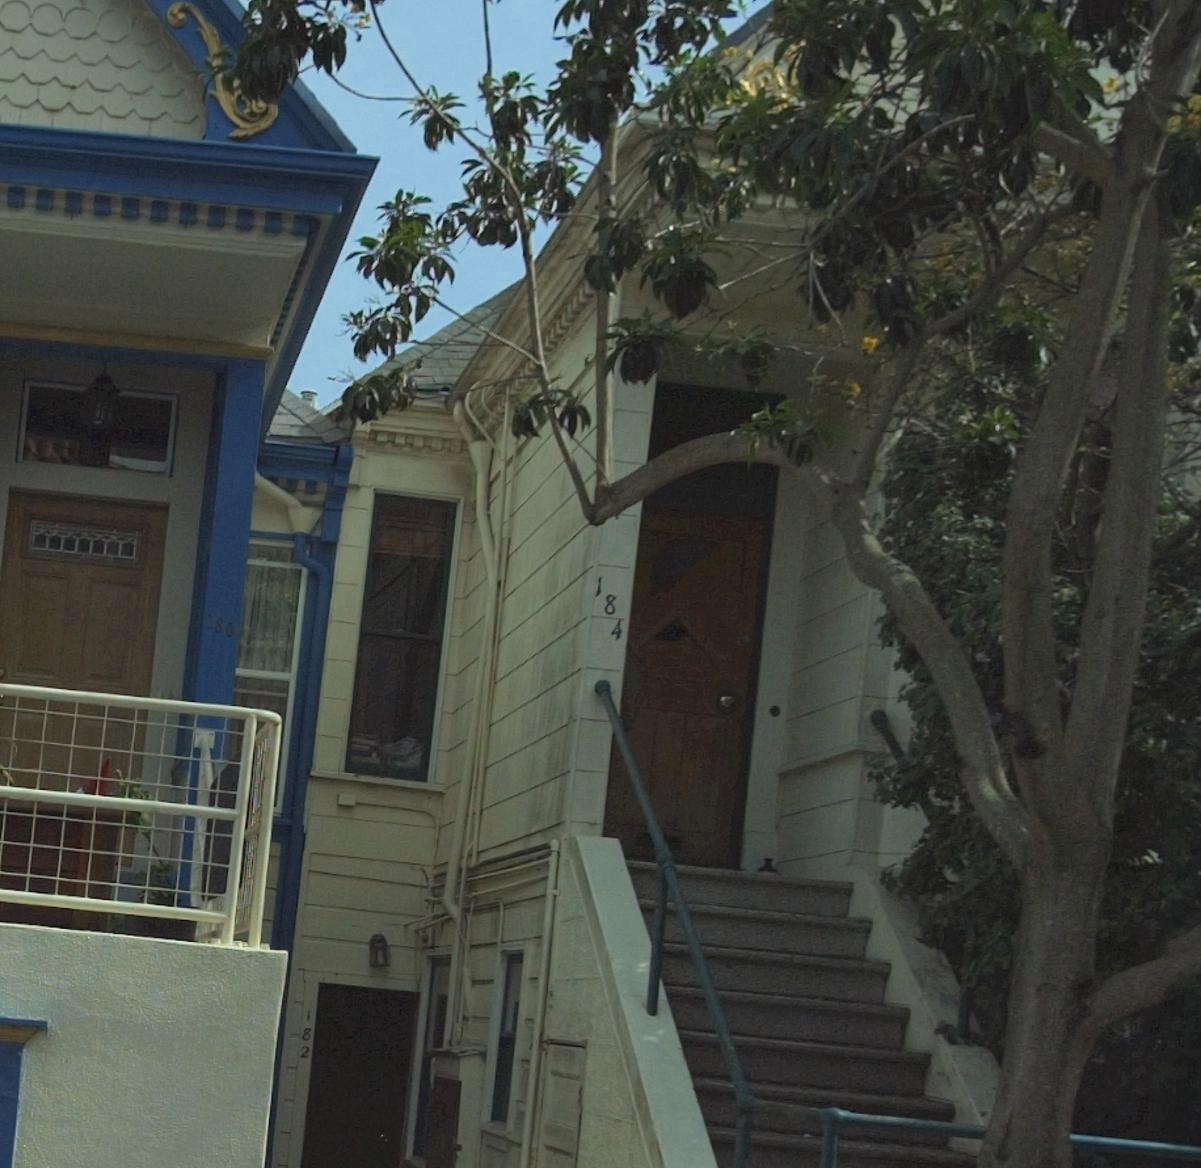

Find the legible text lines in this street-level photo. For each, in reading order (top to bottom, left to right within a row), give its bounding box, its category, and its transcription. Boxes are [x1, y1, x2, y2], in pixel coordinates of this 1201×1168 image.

[205, 609, 236, 641] StreetNumber: 180
[591, 572, 624, 643] StreetNumber: 184